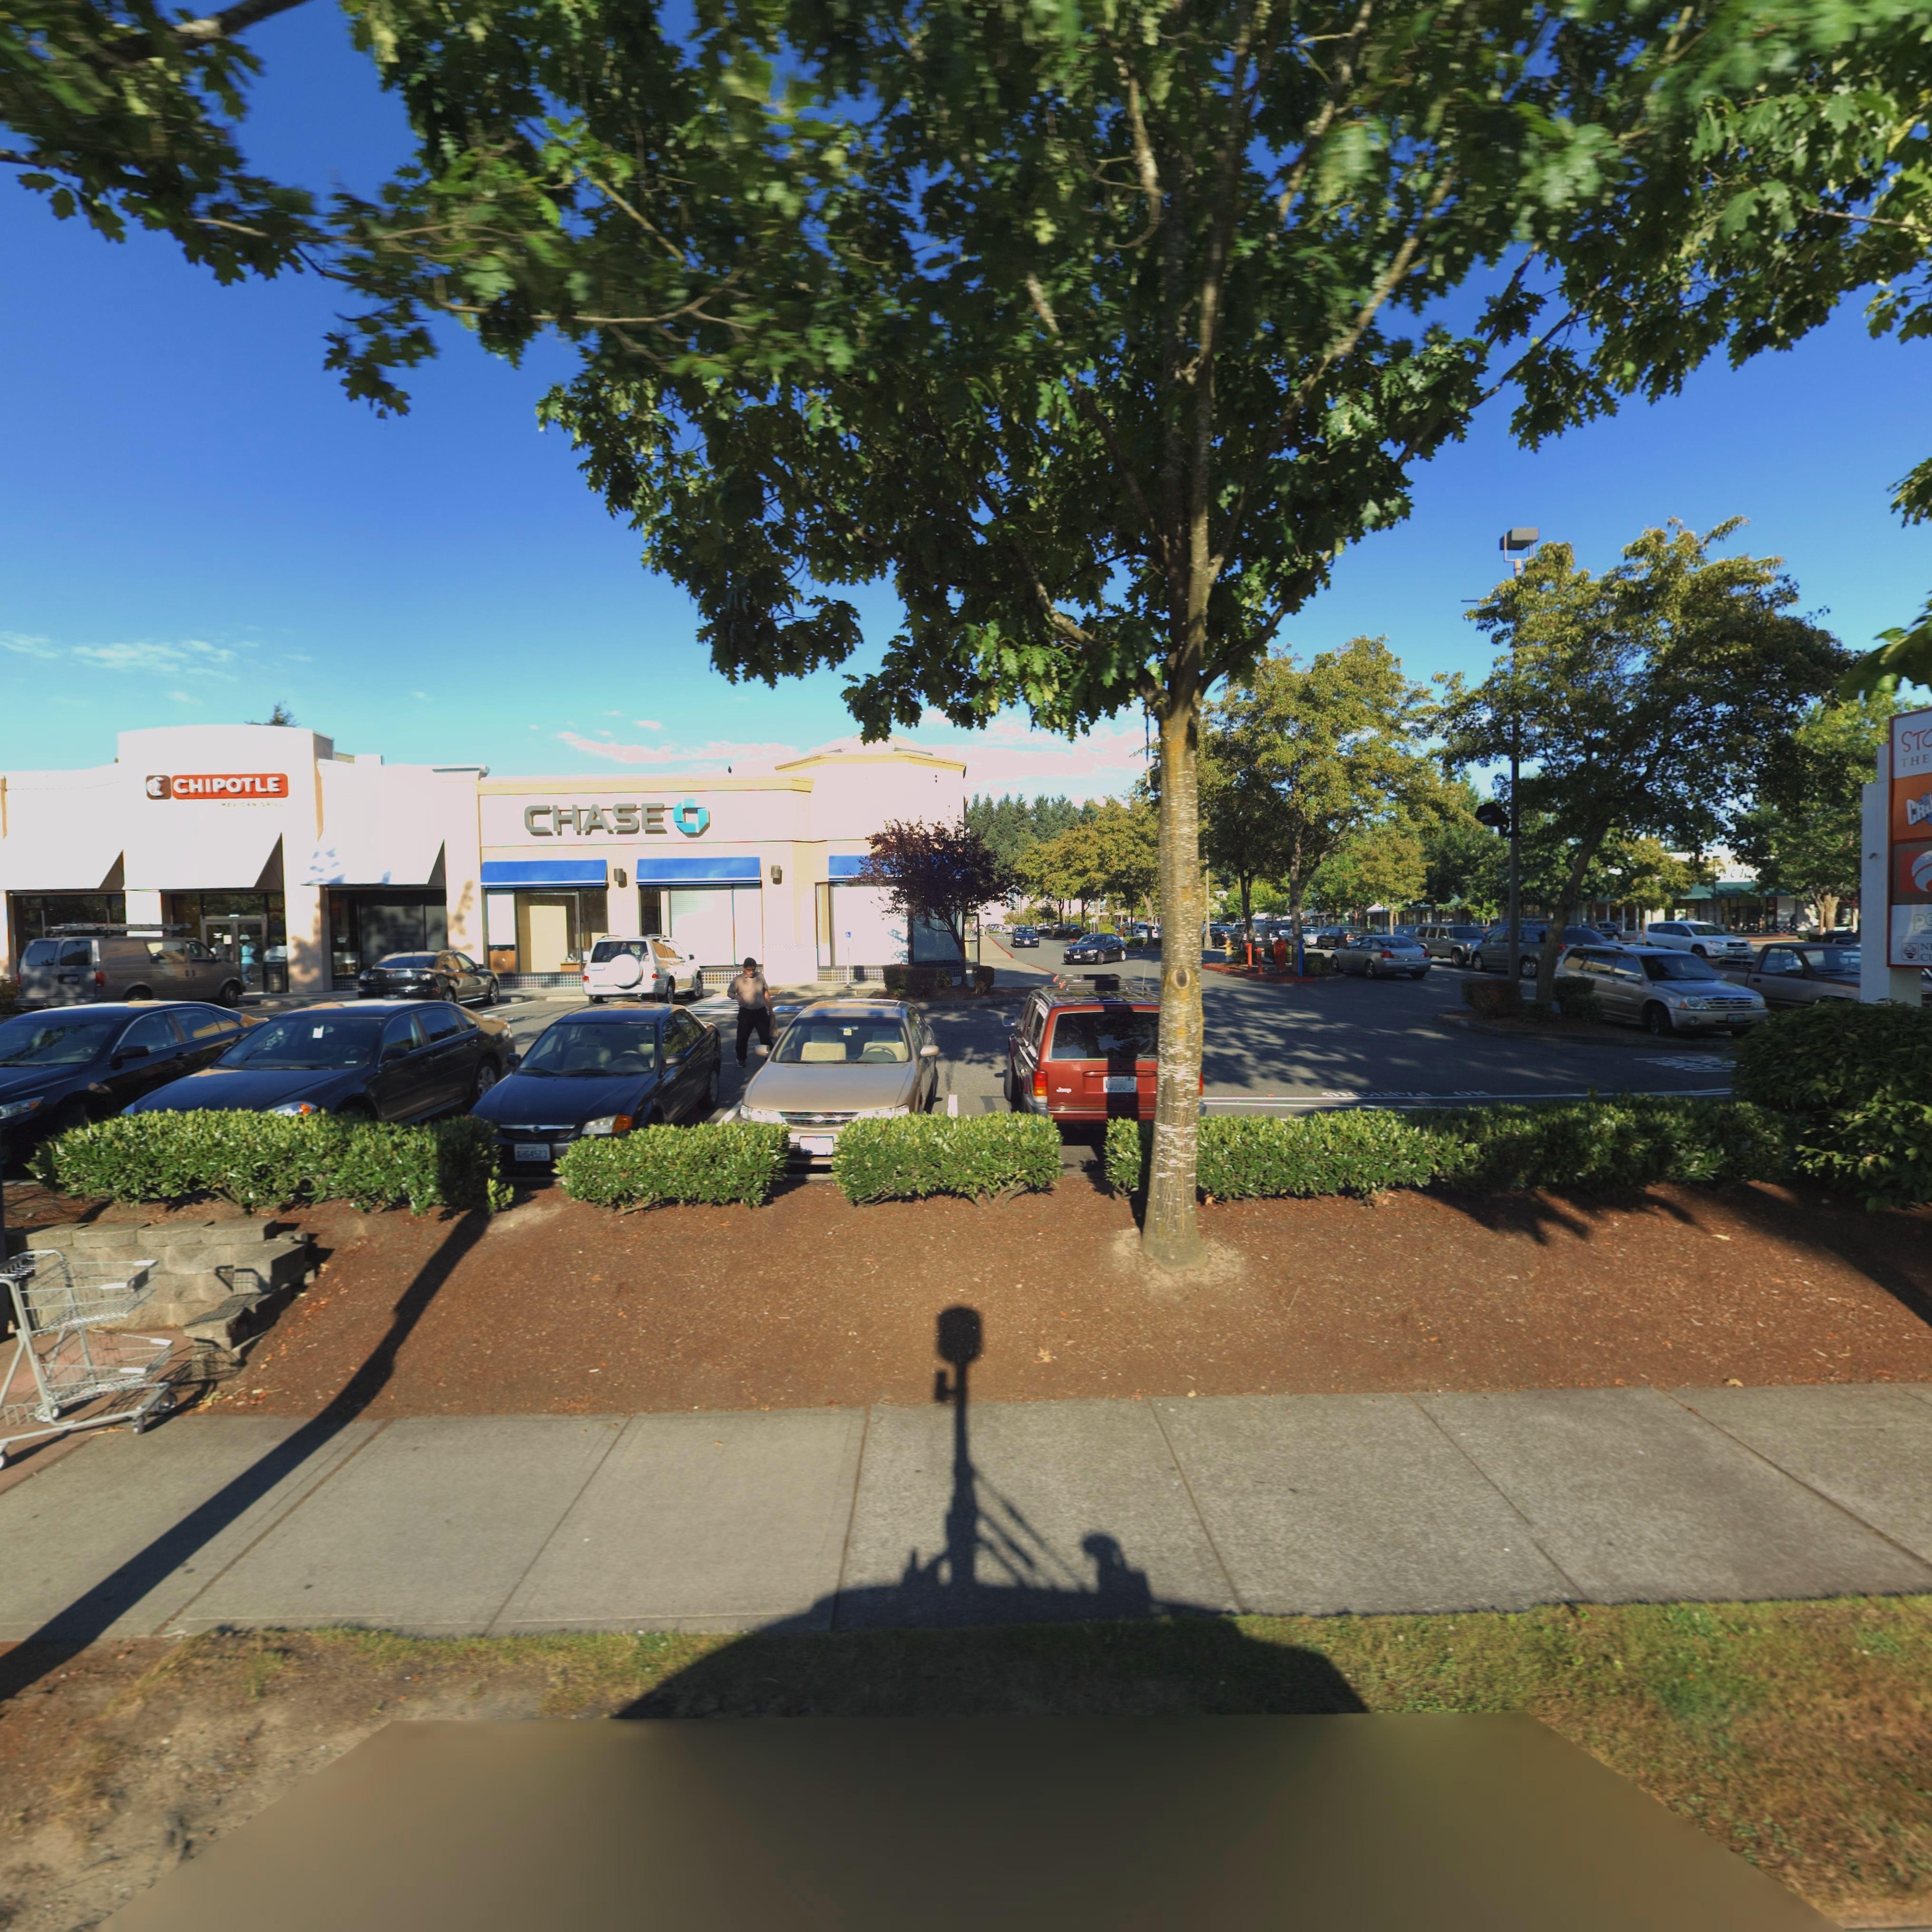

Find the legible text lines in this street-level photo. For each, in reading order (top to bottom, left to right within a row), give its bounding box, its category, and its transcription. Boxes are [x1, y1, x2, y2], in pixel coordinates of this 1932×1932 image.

[1900, 726, 1932, 753] BusinessName: ST*
[1899, 753, 1930, 768] BusinessName: THE
[173, 777, 279, 794] BusinessName: CHI POT LE
[1905, 793, 1932, 827] BusinessName: CR*
[1913, 912, 1932, 931] BusinessName: p*